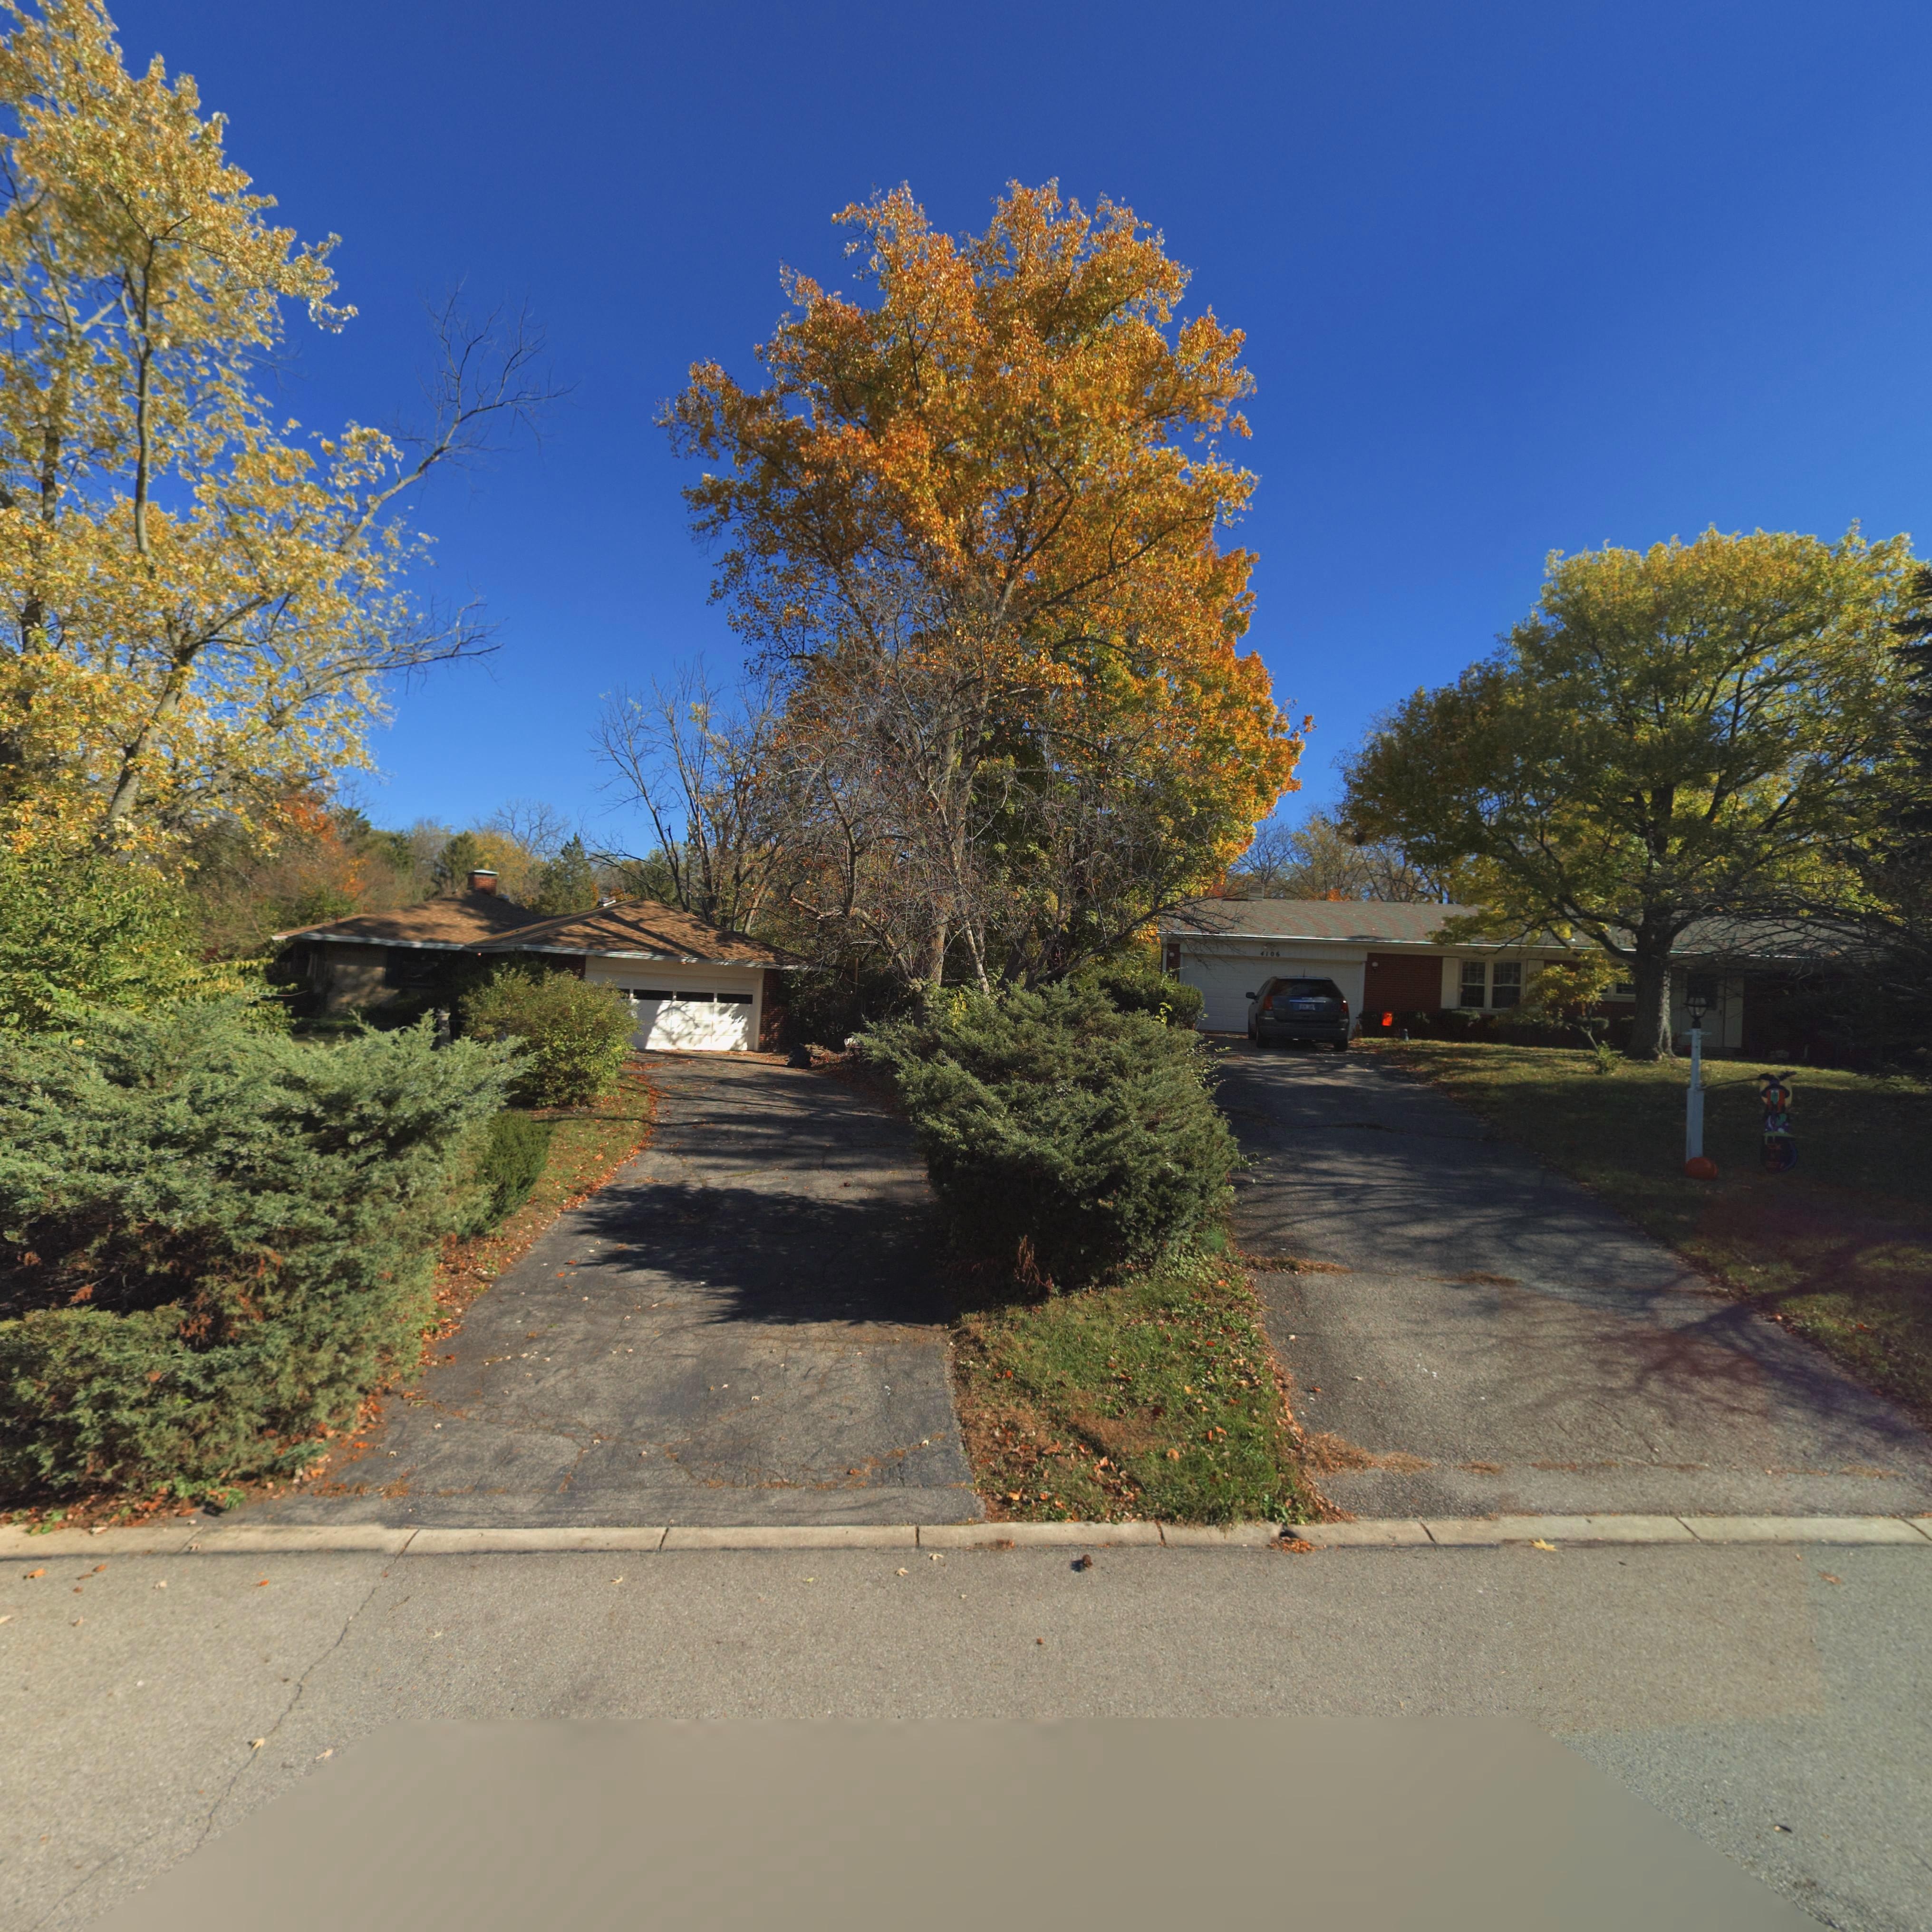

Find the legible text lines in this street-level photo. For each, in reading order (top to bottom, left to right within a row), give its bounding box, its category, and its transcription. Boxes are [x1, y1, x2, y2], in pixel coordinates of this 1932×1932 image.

[1259, 950, 1281, 958] StreetNumber: 4106